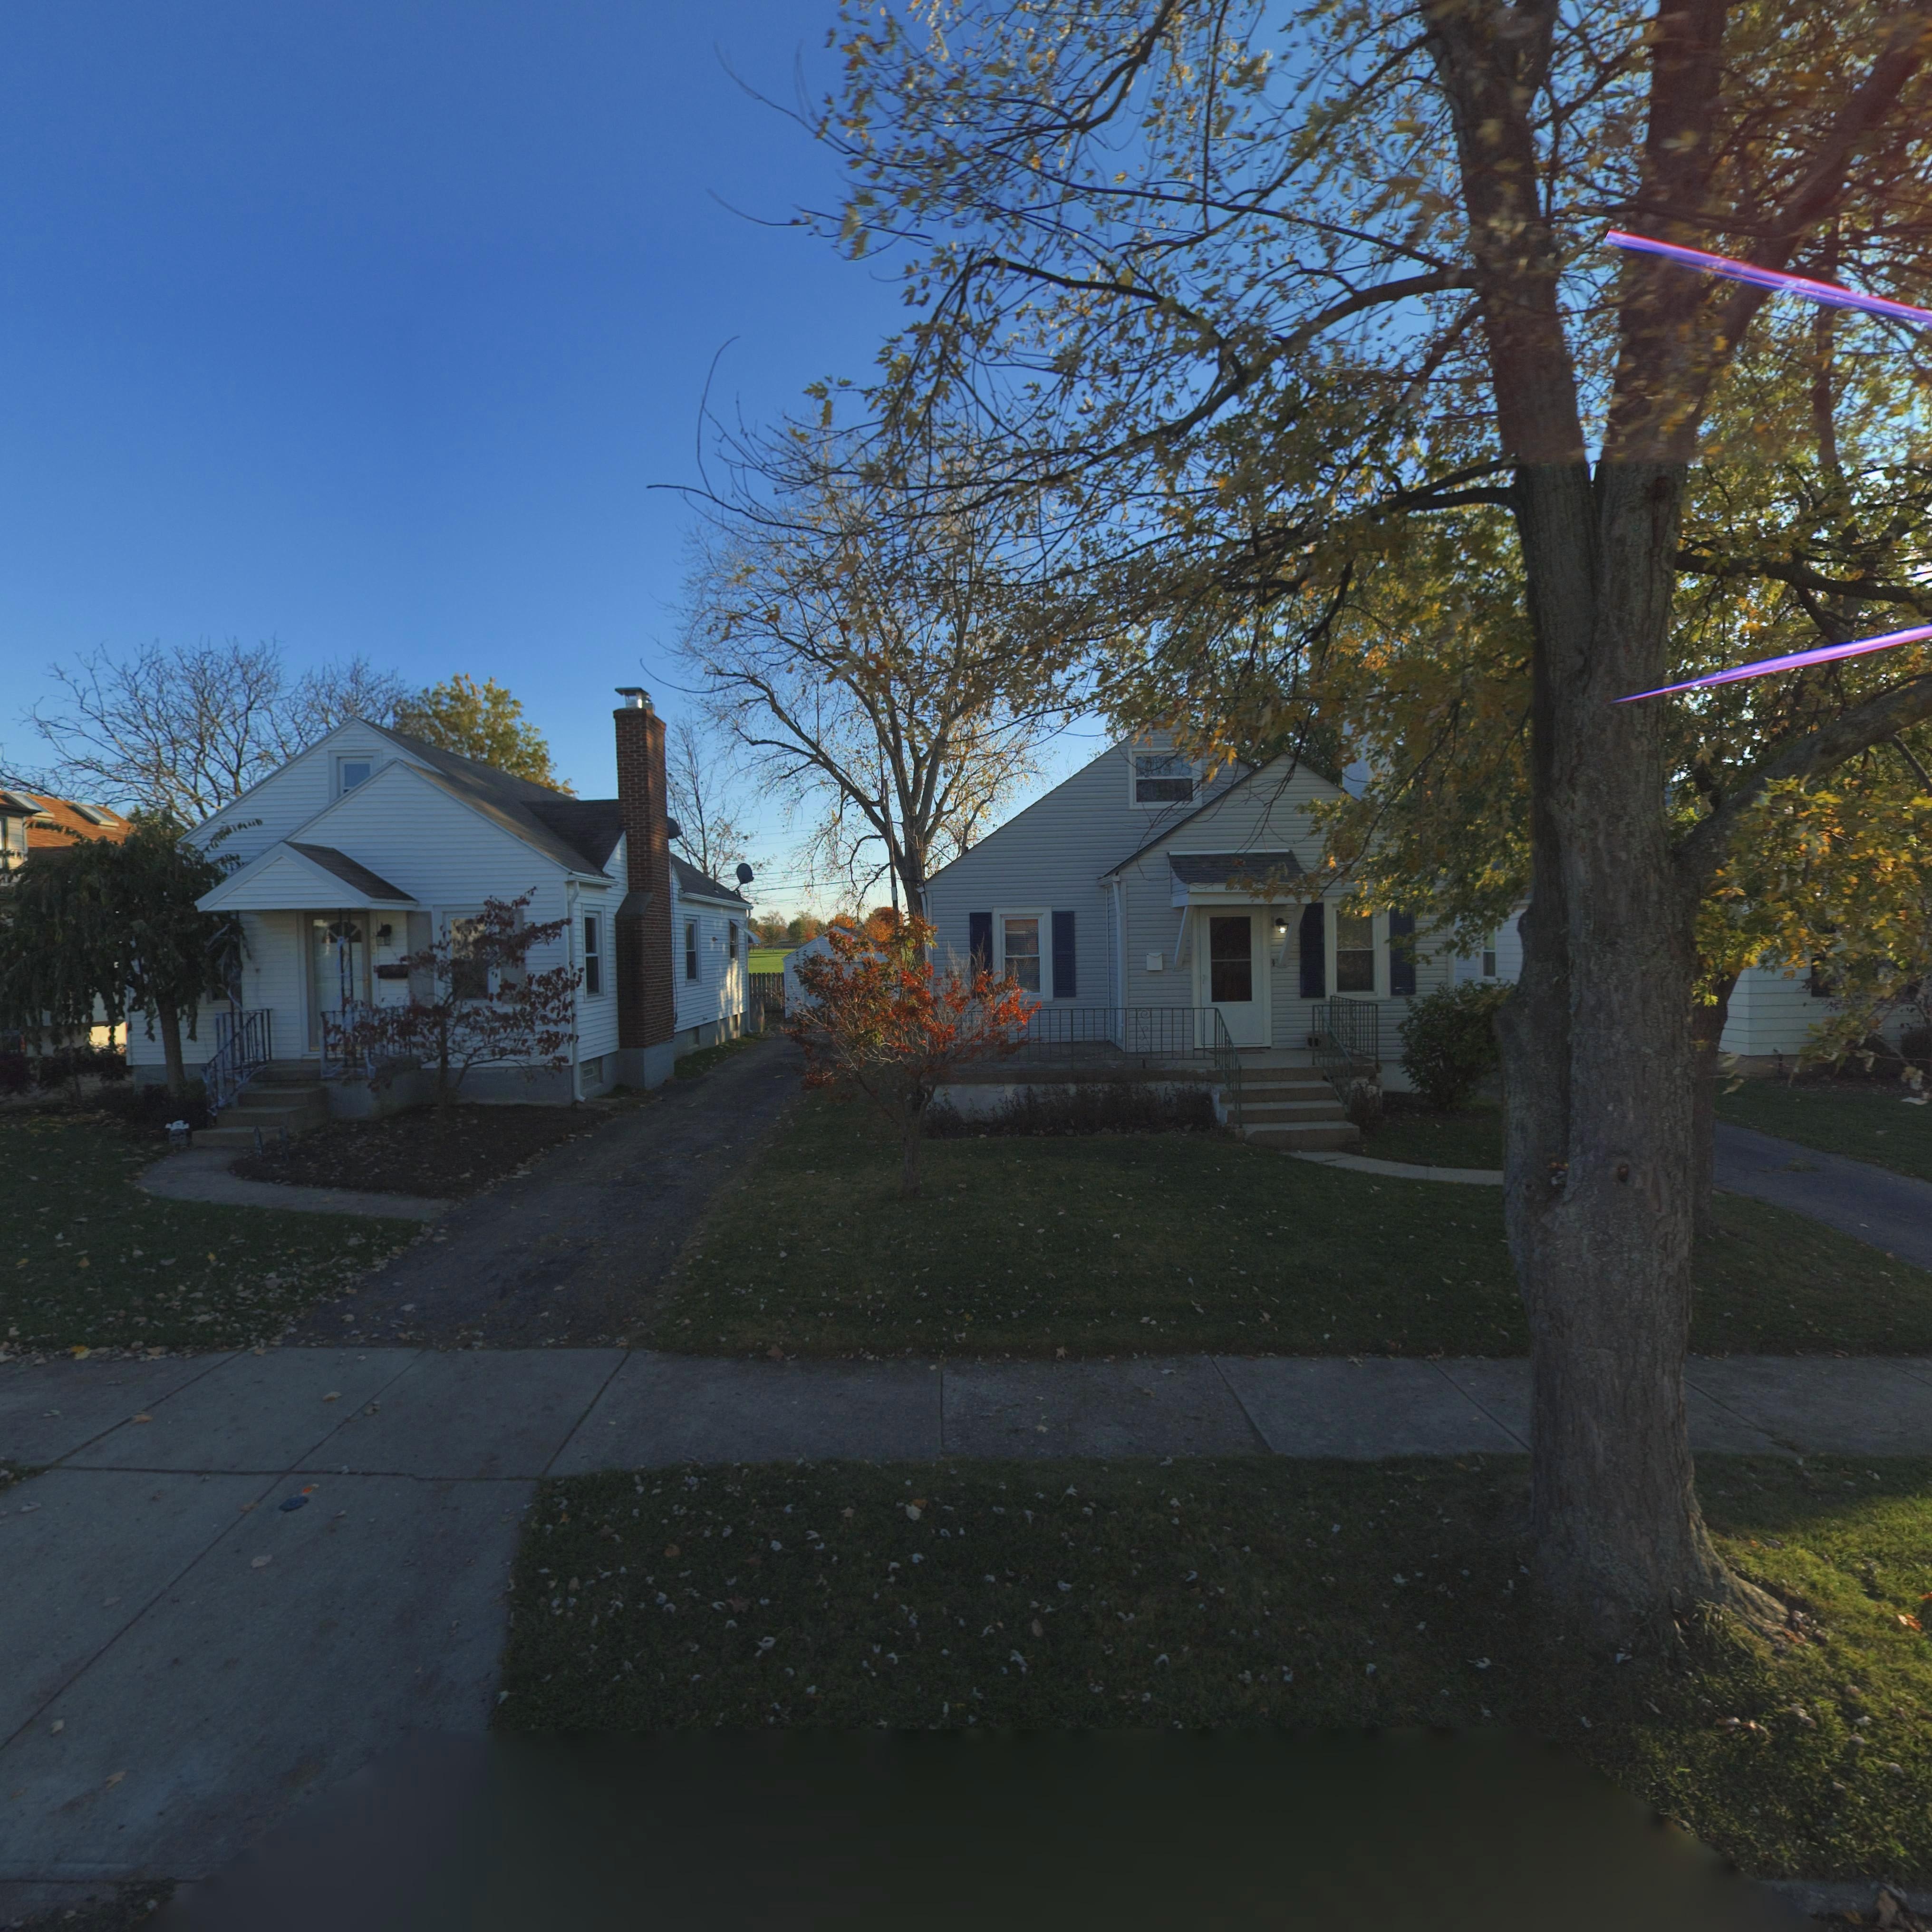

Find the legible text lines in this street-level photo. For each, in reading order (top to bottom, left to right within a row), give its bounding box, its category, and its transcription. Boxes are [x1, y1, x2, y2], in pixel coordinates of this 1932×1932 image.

[370, 931, 377, 955] StreetNumber: 200